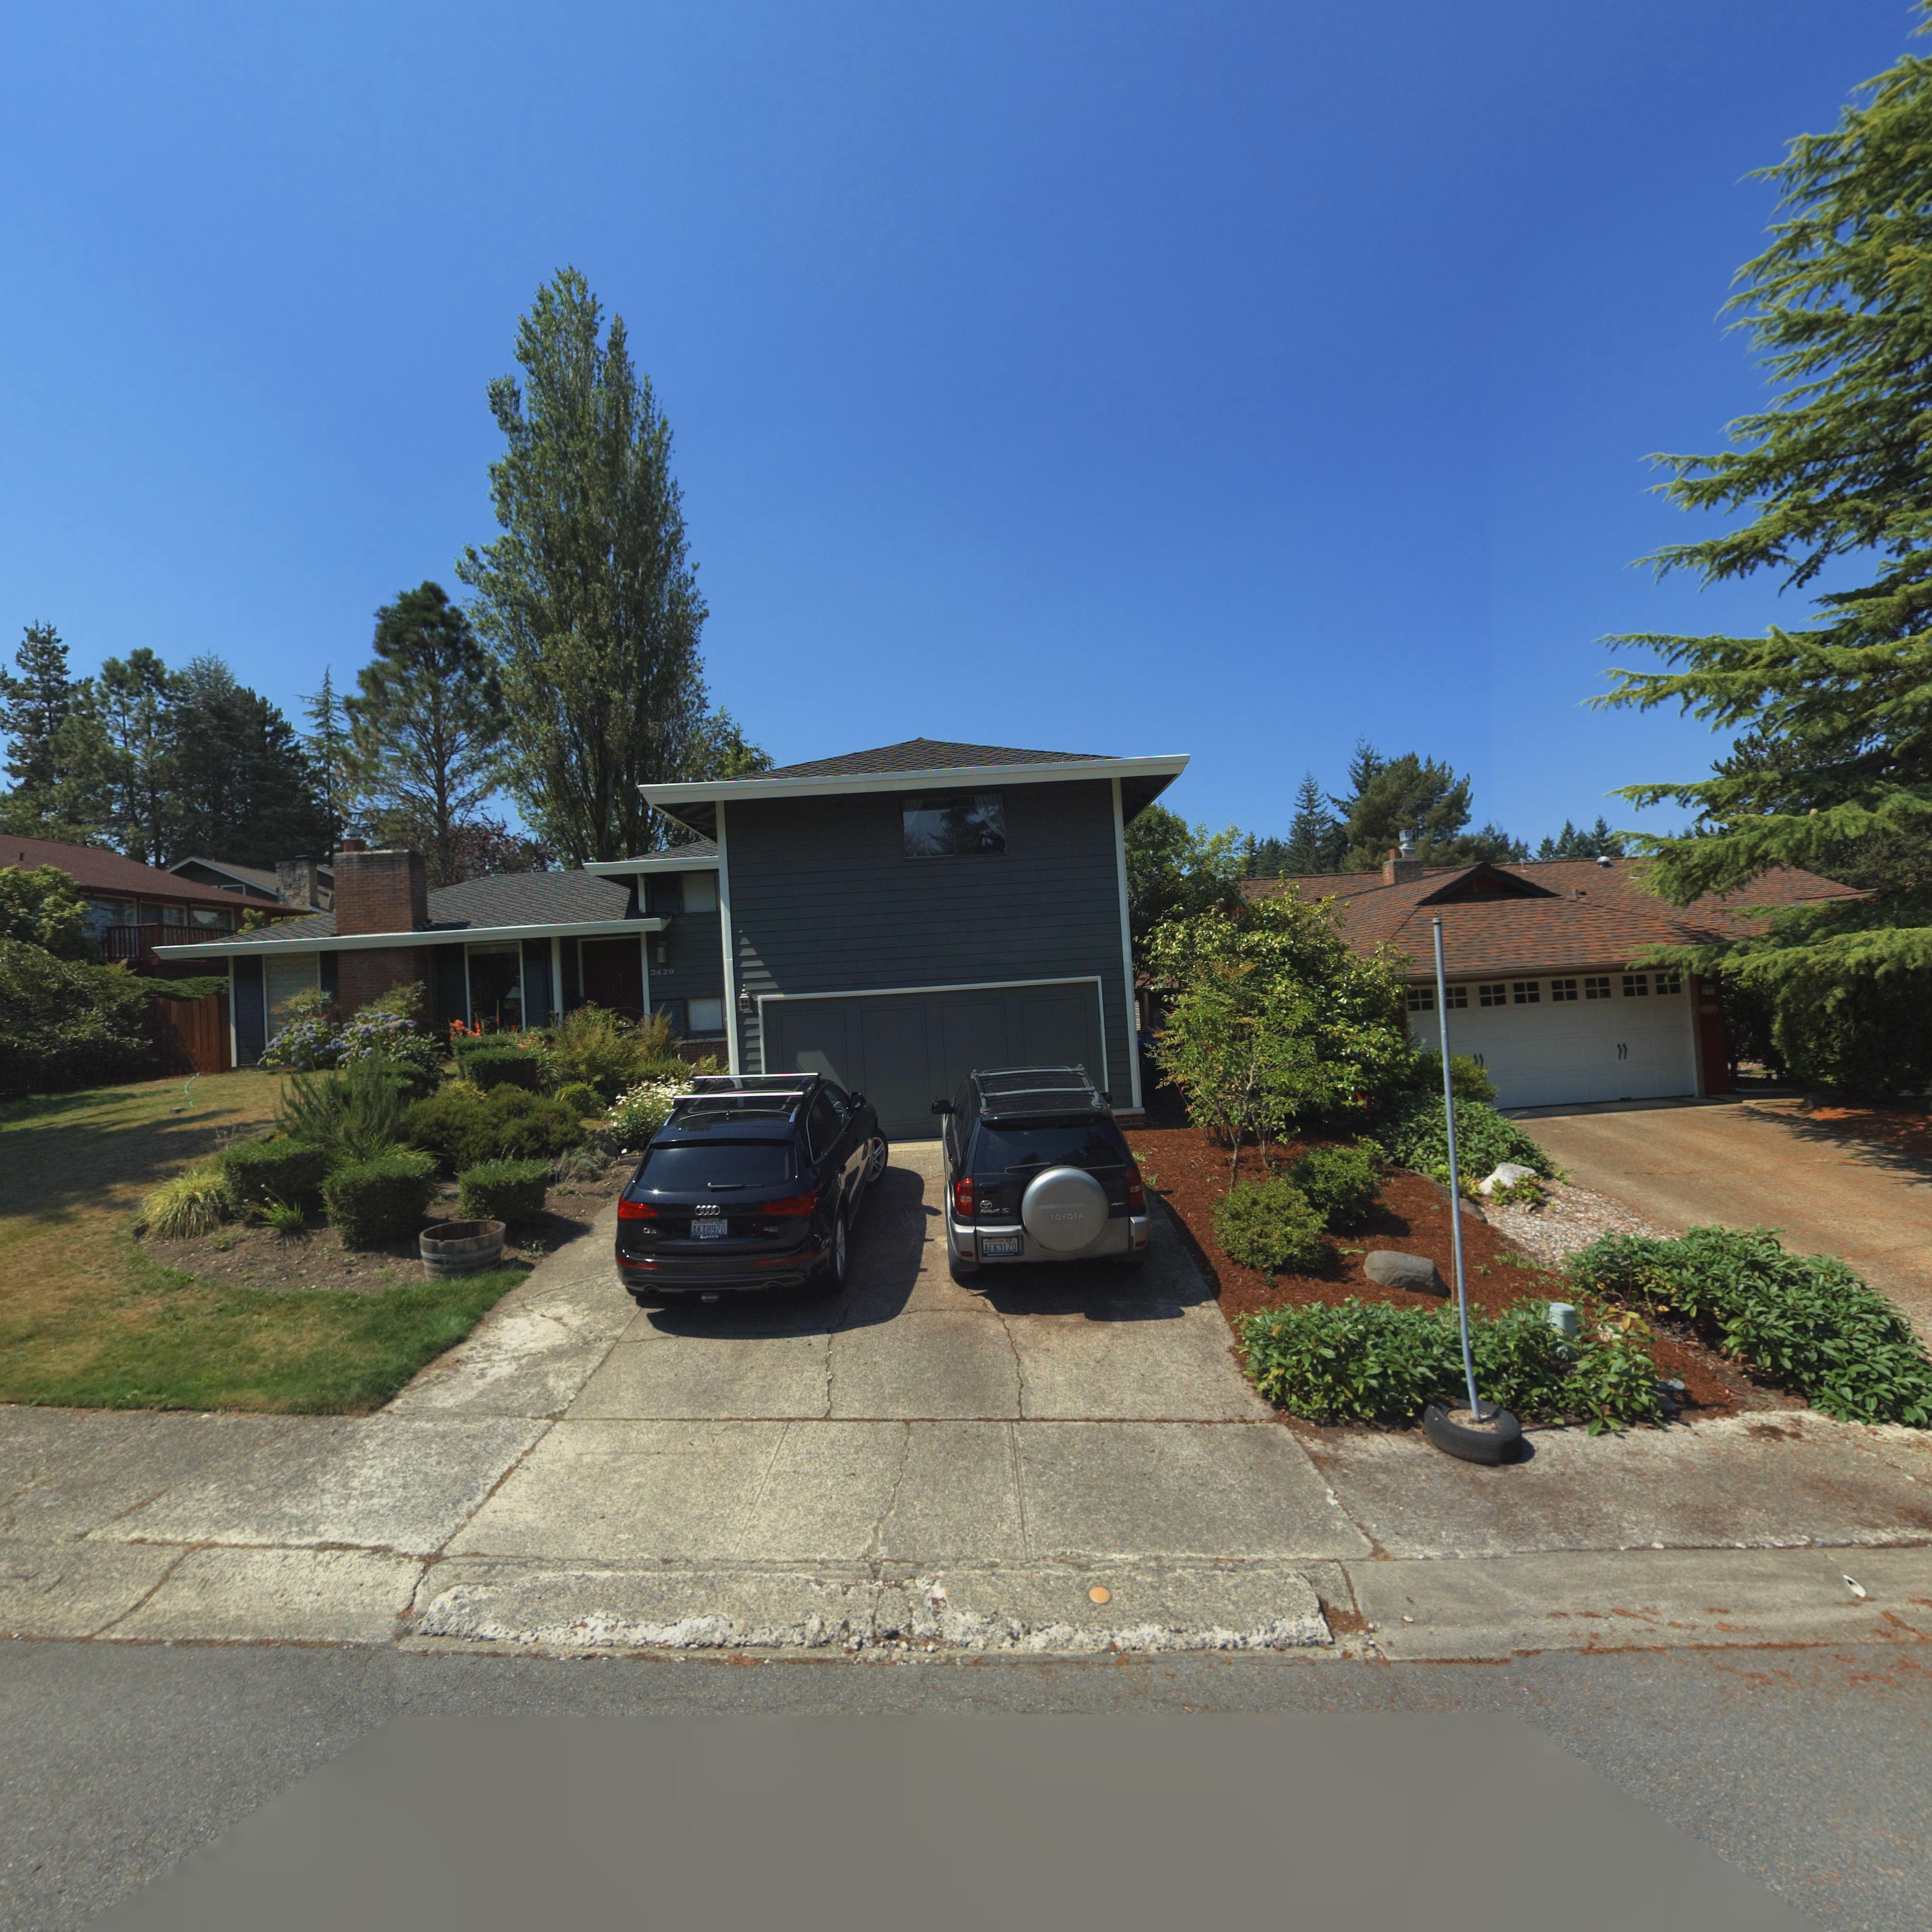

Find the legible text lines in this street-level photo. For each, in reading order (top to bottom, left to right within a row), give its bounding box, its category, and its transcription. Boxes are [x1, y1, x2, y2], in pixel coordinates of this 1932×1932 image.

[650, 967, 675, 976] StreetNumber: 2429